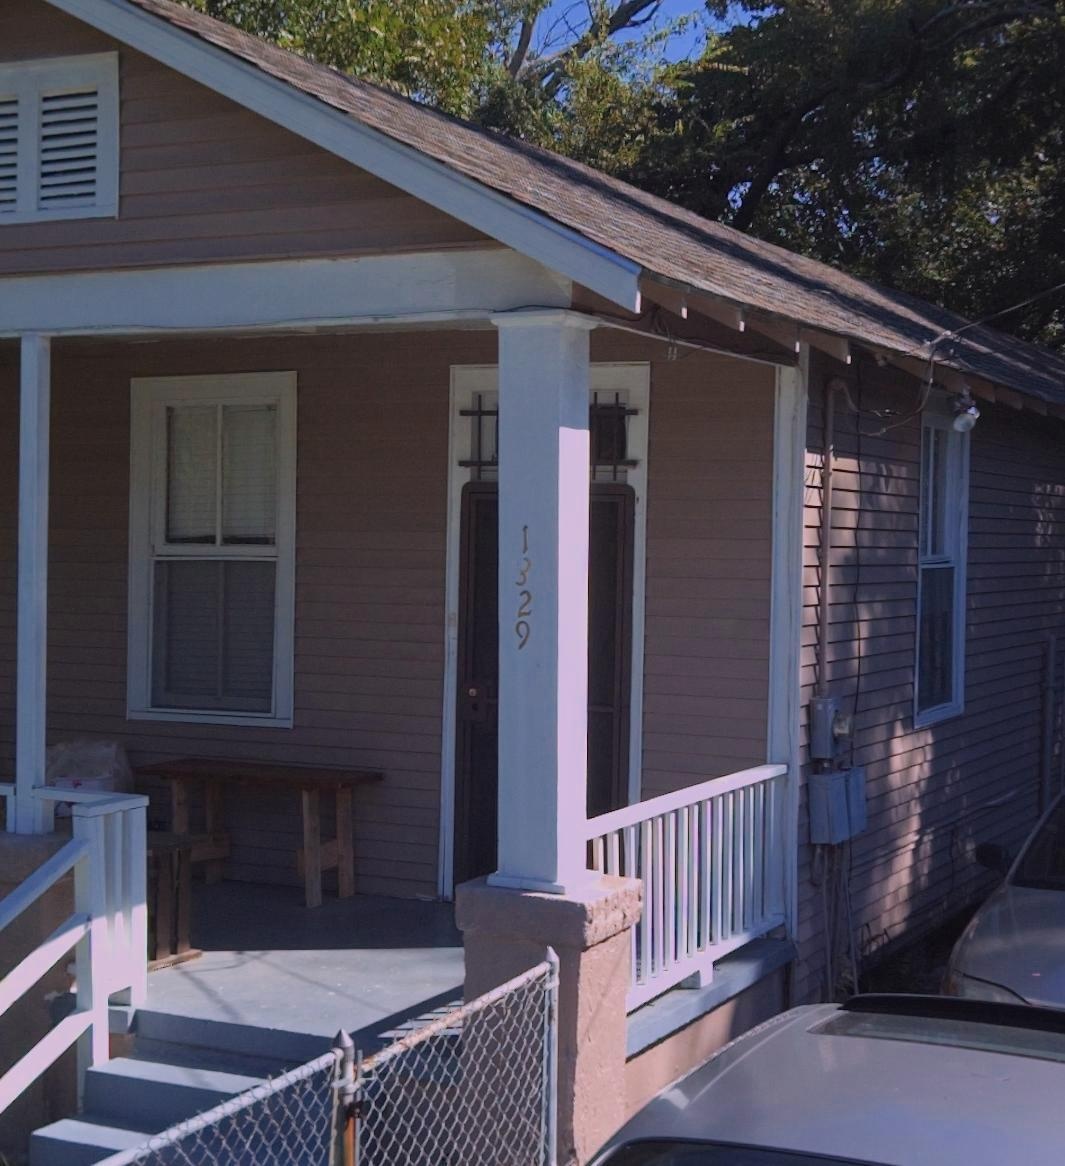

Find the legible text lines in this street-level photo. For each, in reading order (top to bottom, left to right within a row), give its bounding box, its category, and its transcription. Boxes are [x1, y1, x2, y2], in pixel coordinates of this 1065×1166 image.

[513, 517, 535, 657] StreetNumber: 1329